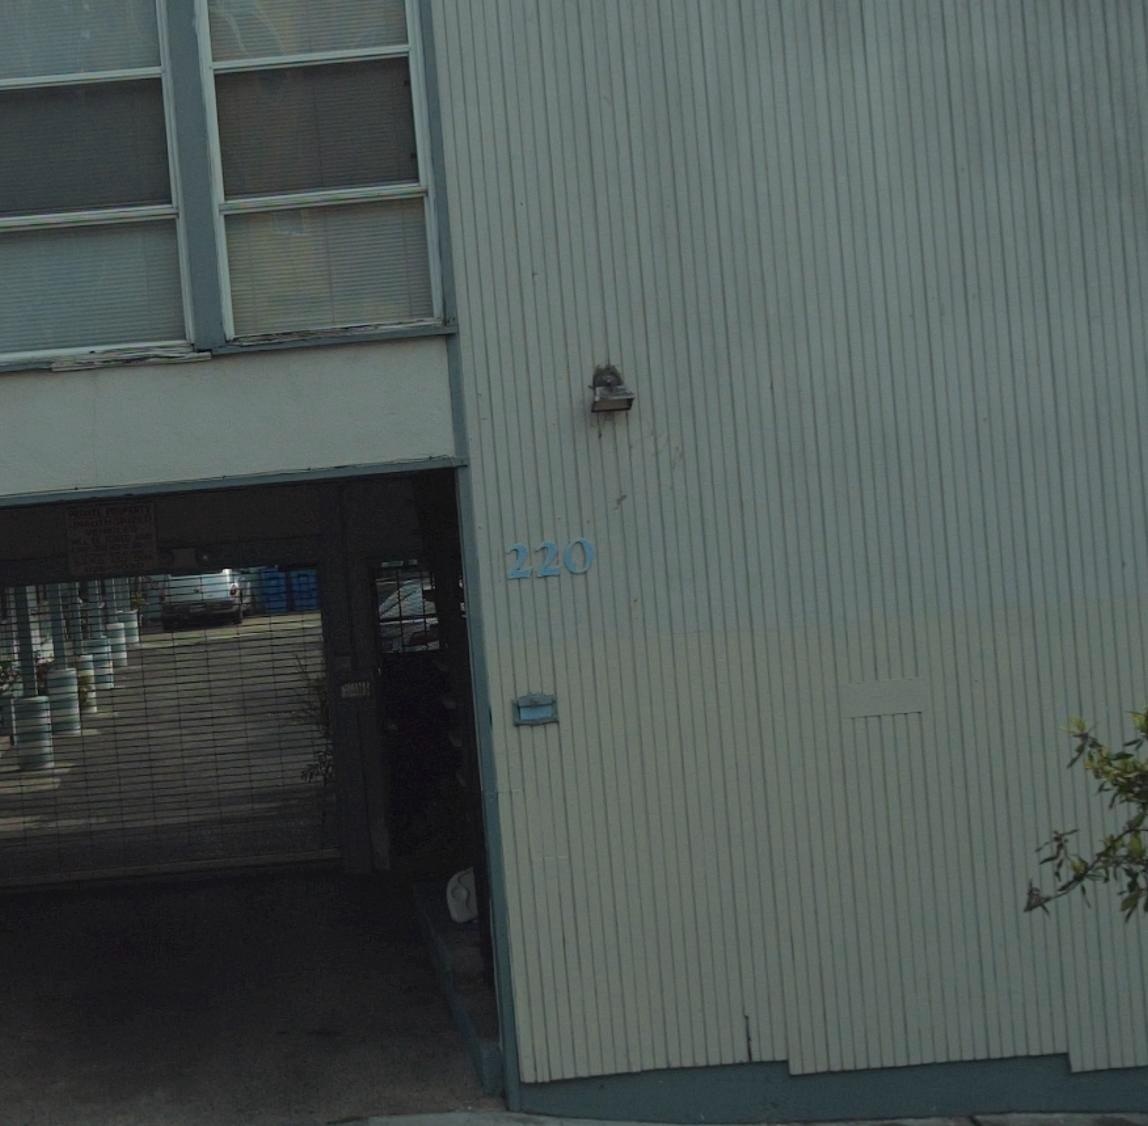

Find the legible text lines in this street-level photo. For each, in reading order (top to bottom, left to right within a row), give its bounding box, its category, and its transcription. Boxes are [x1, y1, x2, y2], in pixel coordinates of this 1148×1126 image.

[503, 534, 595, 583] StreetNumber: 220